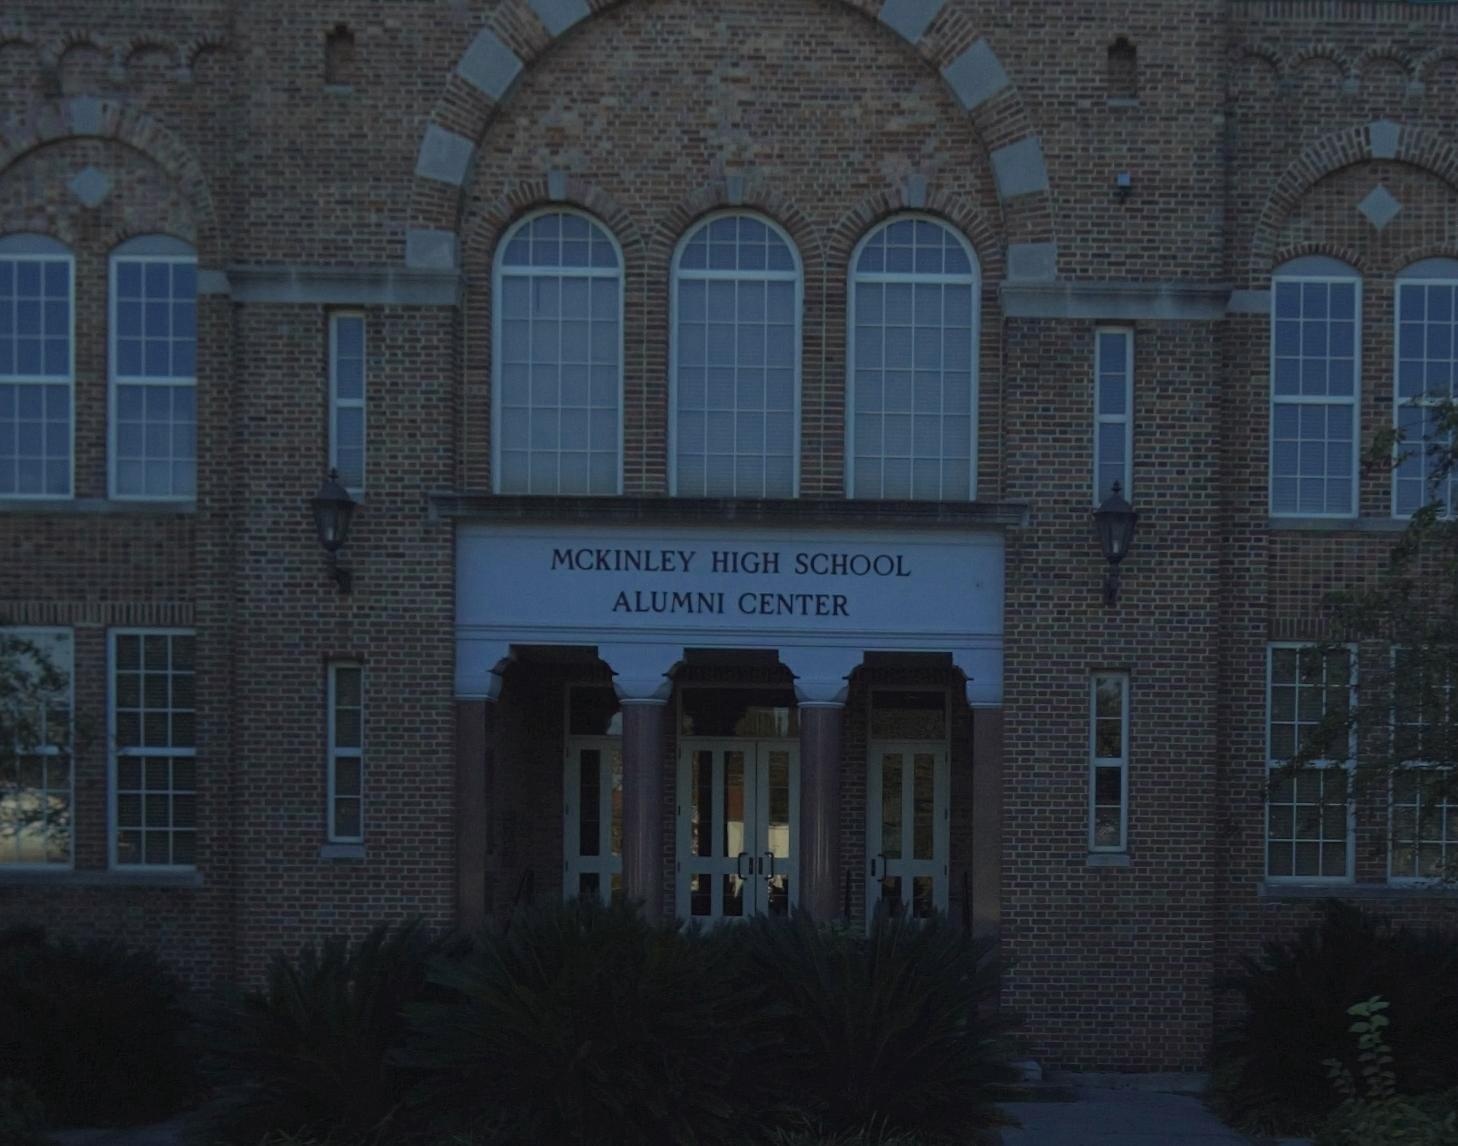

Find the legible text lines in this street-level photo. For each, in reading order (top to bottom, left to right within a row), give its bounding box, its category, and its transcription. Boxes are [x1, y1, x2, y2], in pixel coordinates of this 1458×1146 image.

[548, 547, 913, 578] BusinessName: MCKINLEY HIGH SCHOOL
[610, 590, 851, 617] BusinessName: ALUMNI CENTER